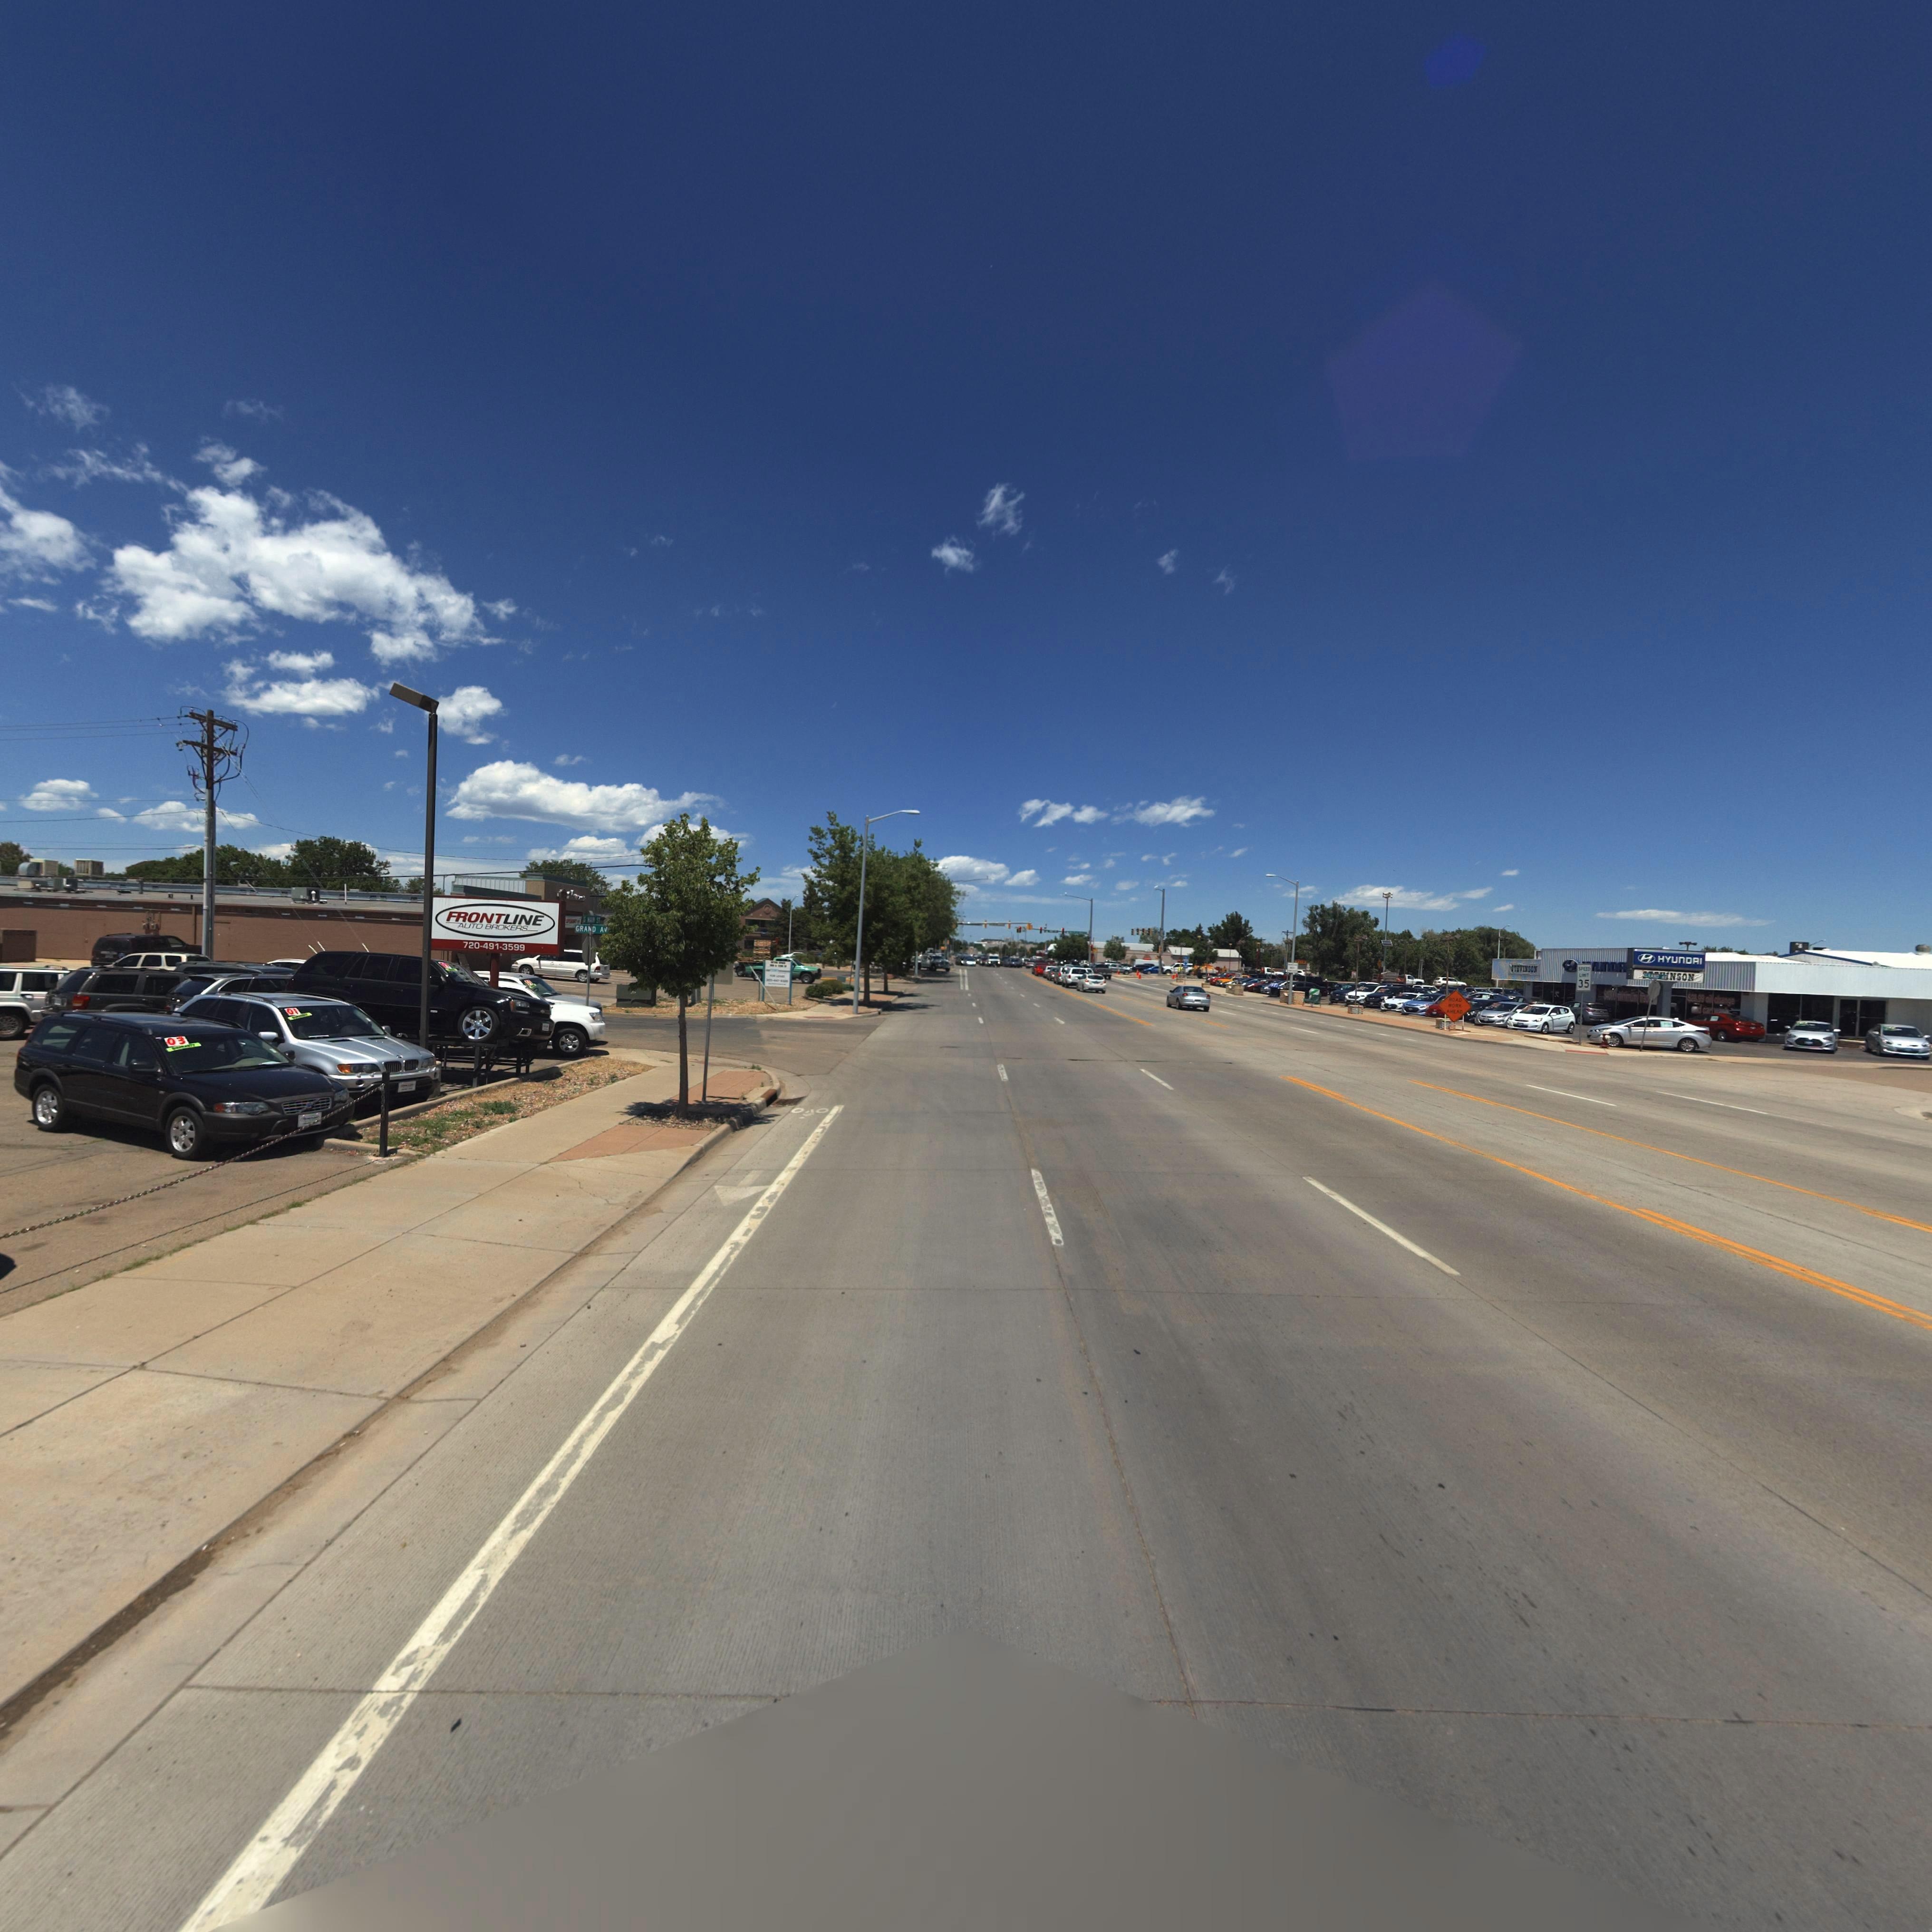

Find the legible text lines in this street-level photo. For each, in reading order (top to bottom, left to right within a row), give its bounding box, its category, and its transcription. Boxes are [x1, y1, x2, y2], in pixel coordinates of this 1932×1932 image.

[445, 911, 545, 927] BusinessName: FRONTLINE
[582, 916, 601, 923] StreetName: S MA*N ST
[455, 922, 530, 932] BusinessName: AUTO BROKERS
[575, 925, 608, 932] StreetName: GRAND AV
[1657, 955, 1702, 965] BusinessName: HYUnDAI
[1510, 964, 1538, 973] BusinessName: STEVINSON
[1581, 960, 1627, 973] BusinessName: **UnDA*
[1642, 973, 1668, 980] StreetName: GRAND AV
[1641, 970, 1695, 982] BusinessName: *****NSON